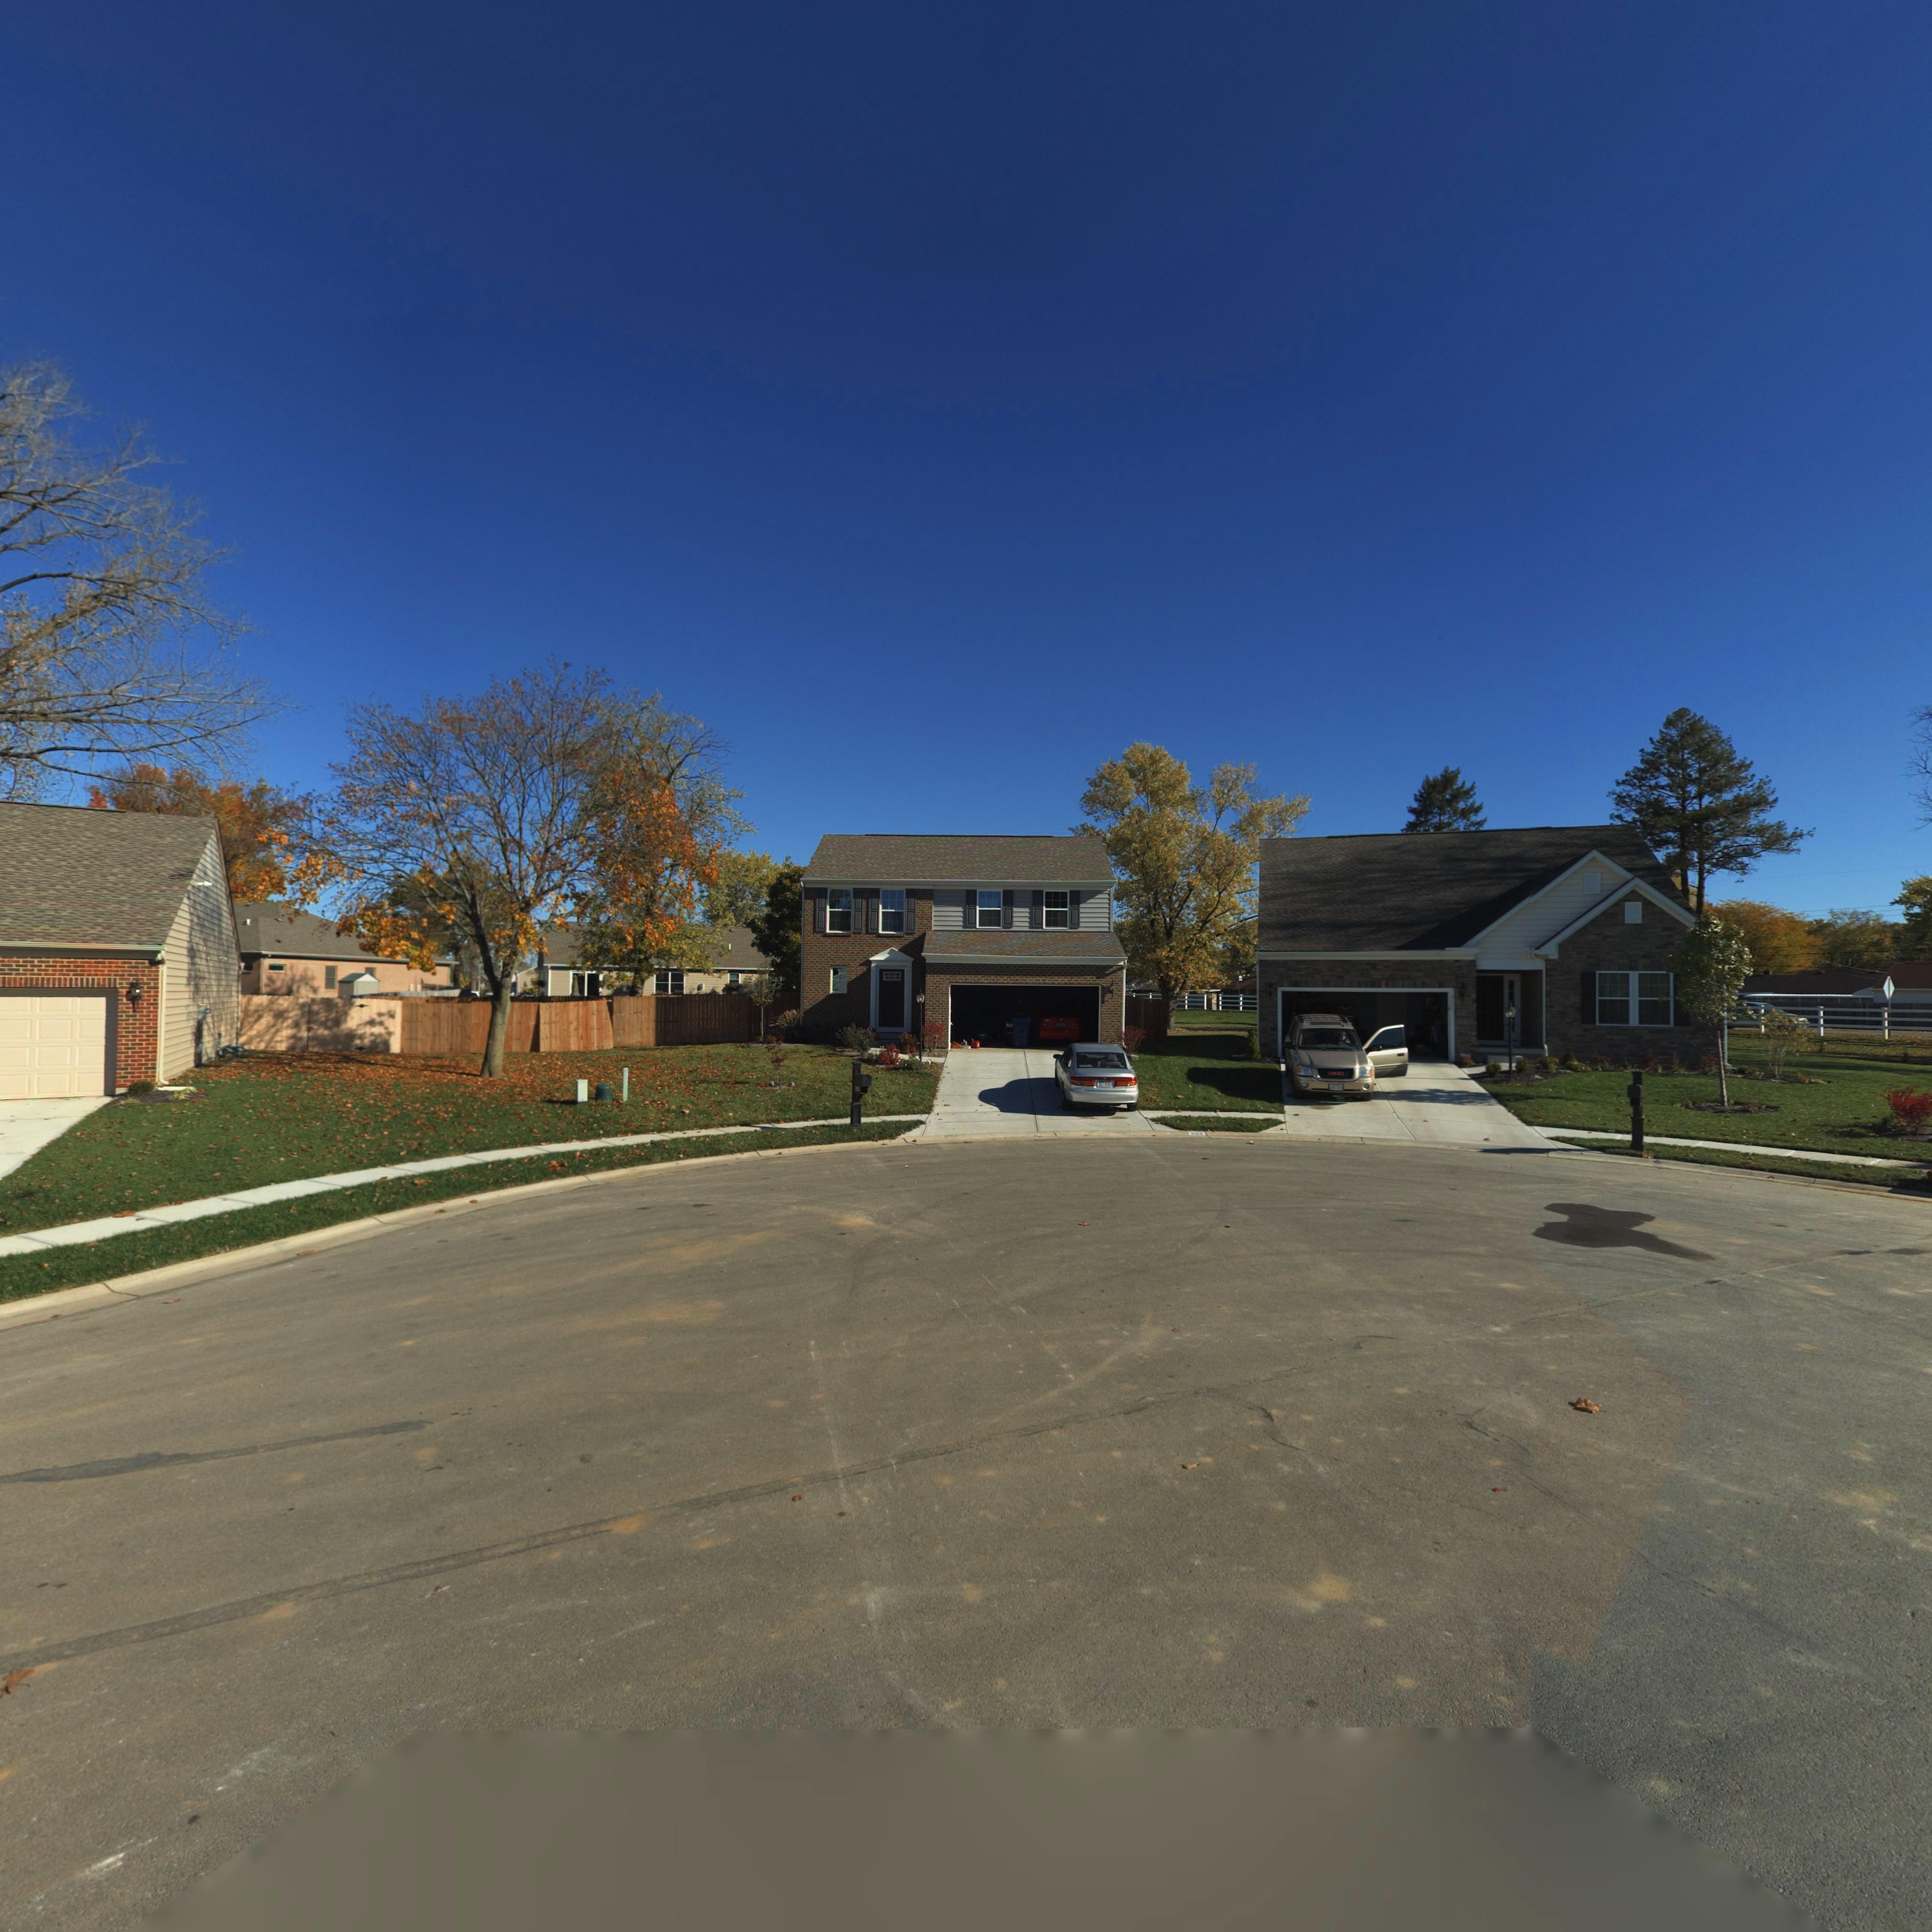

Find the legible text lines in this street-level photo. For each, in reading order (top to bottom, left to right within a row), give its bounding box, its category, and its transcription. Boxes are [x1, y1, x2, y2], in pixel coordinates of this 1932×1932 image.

[1450, 995, 1454, 1011] StreetNumber: *111
[1189, 1132, 1203, 1135] StreetNumber: 310